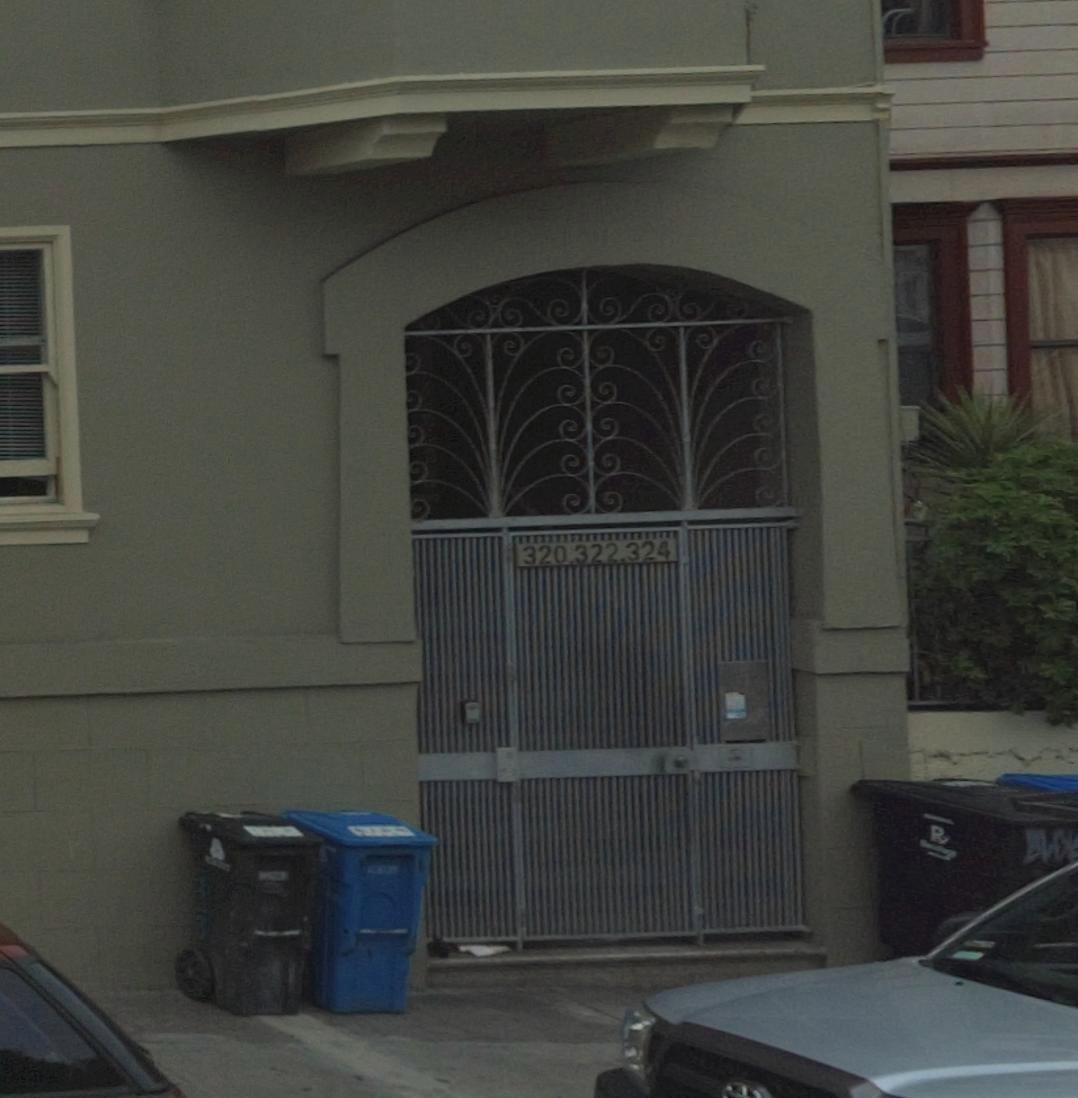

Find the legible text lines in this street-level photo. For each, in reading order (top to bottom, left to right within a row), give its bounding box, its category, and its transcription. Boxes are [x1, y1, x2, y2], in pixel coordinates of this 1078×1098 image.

[522, 544, 568, 566] StreetNumber: 320
[573, 542, 620, 565] StreetNumber: 322
[624, 539, 672, 563] StreetNumber: 324
[929, 823, 951, 845] None: R